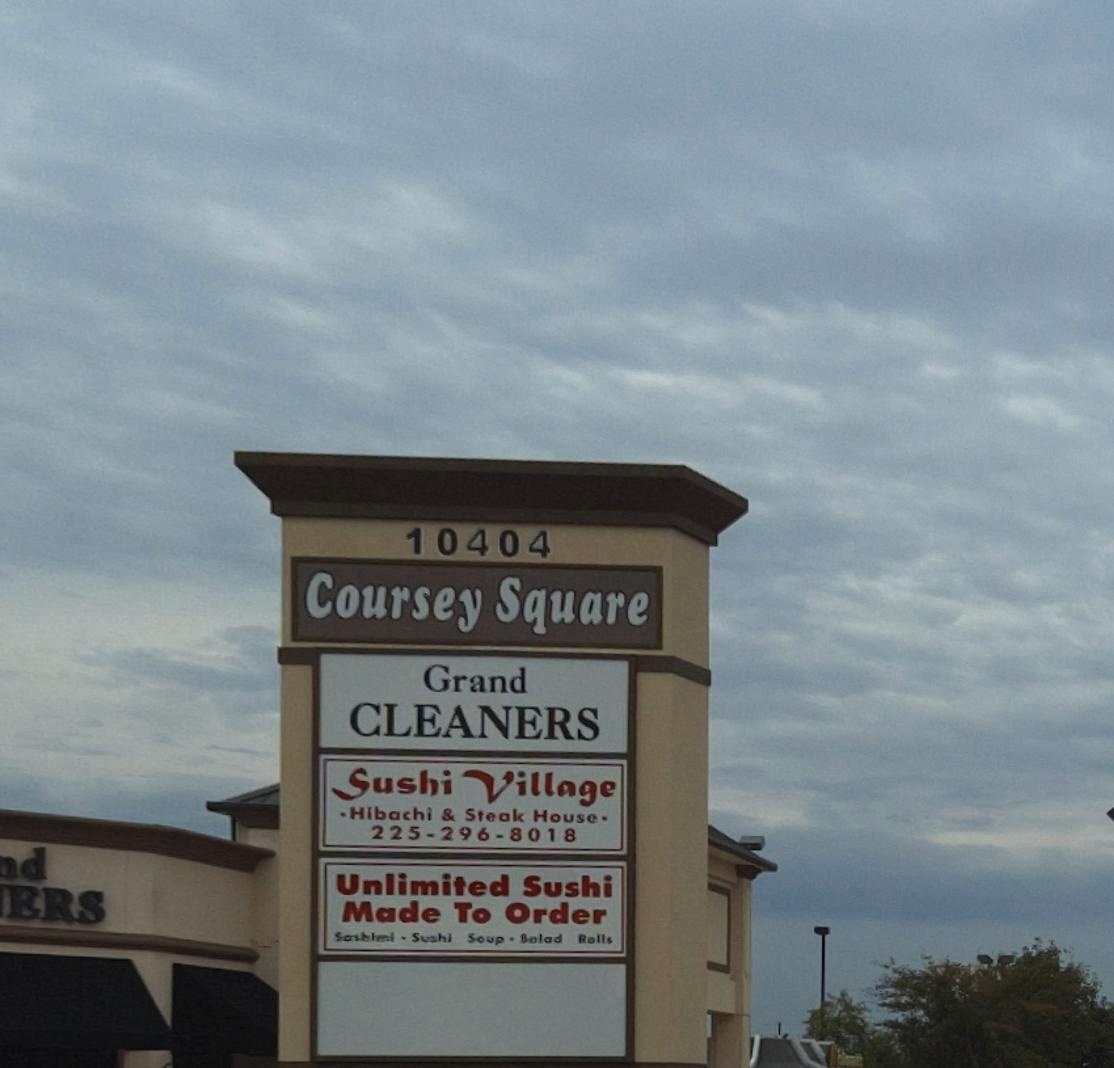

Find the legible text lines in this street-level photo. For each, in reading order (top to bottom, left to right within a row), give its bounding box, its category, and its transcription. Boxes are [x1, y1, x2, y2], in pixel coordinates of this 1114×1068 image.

[404, 526, 552, 559] StreetNumber: 10404
[303, 570, 650, 638] None: Coursey Square
[422, 662, 529, 694] BusinessName: Grand
[349, 702, 600, 742] BusinessName: CLEANERS
[329, 766, 618, 809] BusinessName: Sushi Village
[349, 804, 601, 824] None: Hibachi & Steak House
[370, 824, 577, 843] None: 225-296-8018
[19, 845, 48, 881] BusinessName: d
[336, 872, 614, 898] None: Unlimited Sushi
[5, 883, 107, 925] BusinessName: ERS
[341, 900, 609, 925] None: Made To Order
[333, 929, 614, 945] None: Sashimi * Sushi Soup * Salad Rolls